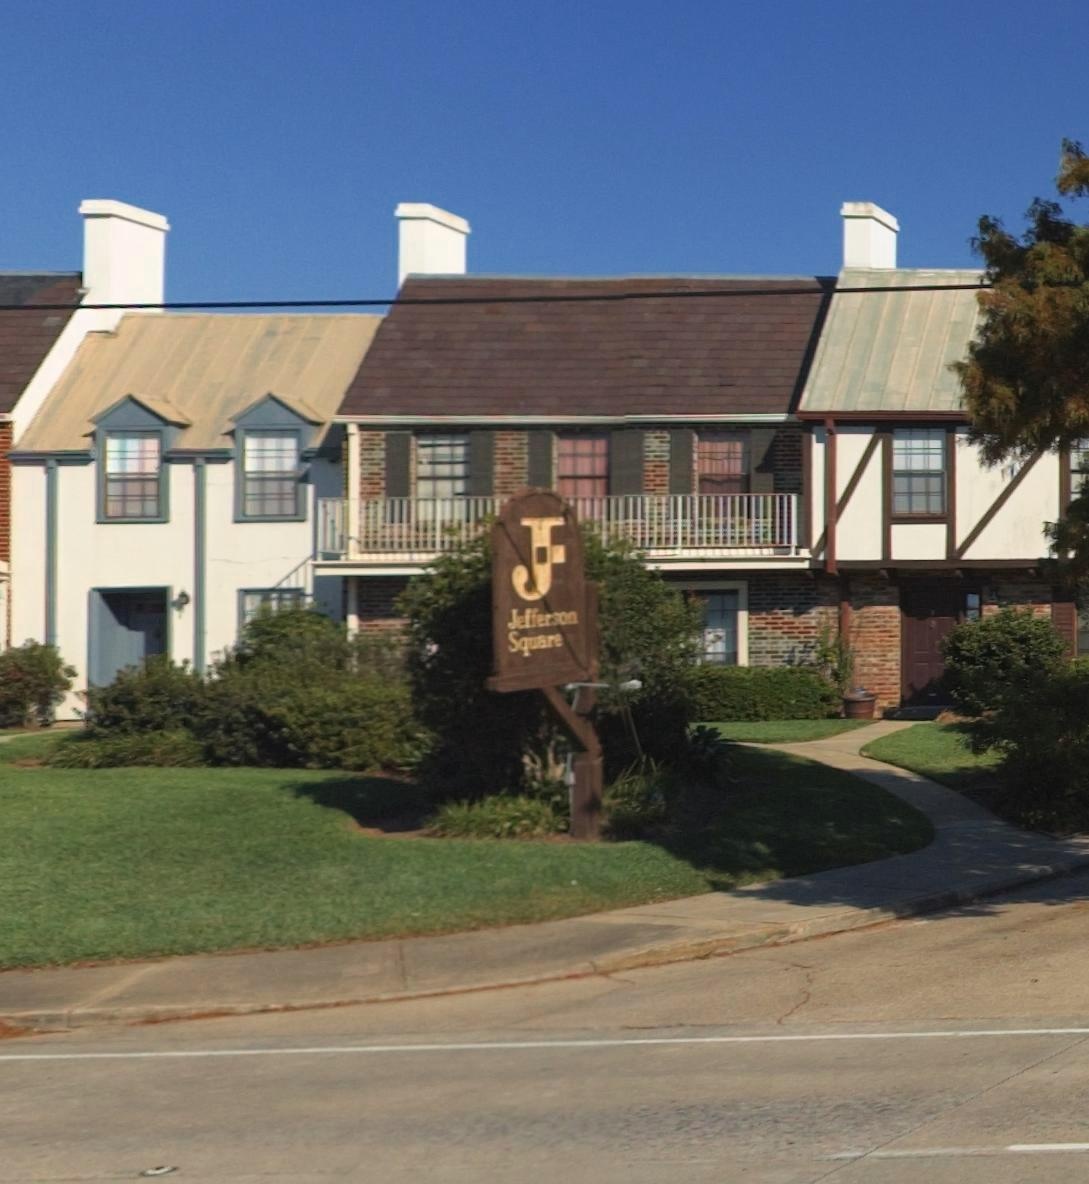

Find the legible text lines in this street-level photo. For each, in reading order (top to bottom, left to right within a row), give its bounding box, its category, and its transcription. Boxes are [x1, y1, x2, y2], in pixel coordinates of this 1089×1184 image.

[507, 512, 569, 607] None: J
[505, 604, 582, 633] BusinessName: Jefferson
[506, 629, 567, 660] BusinessName: Square